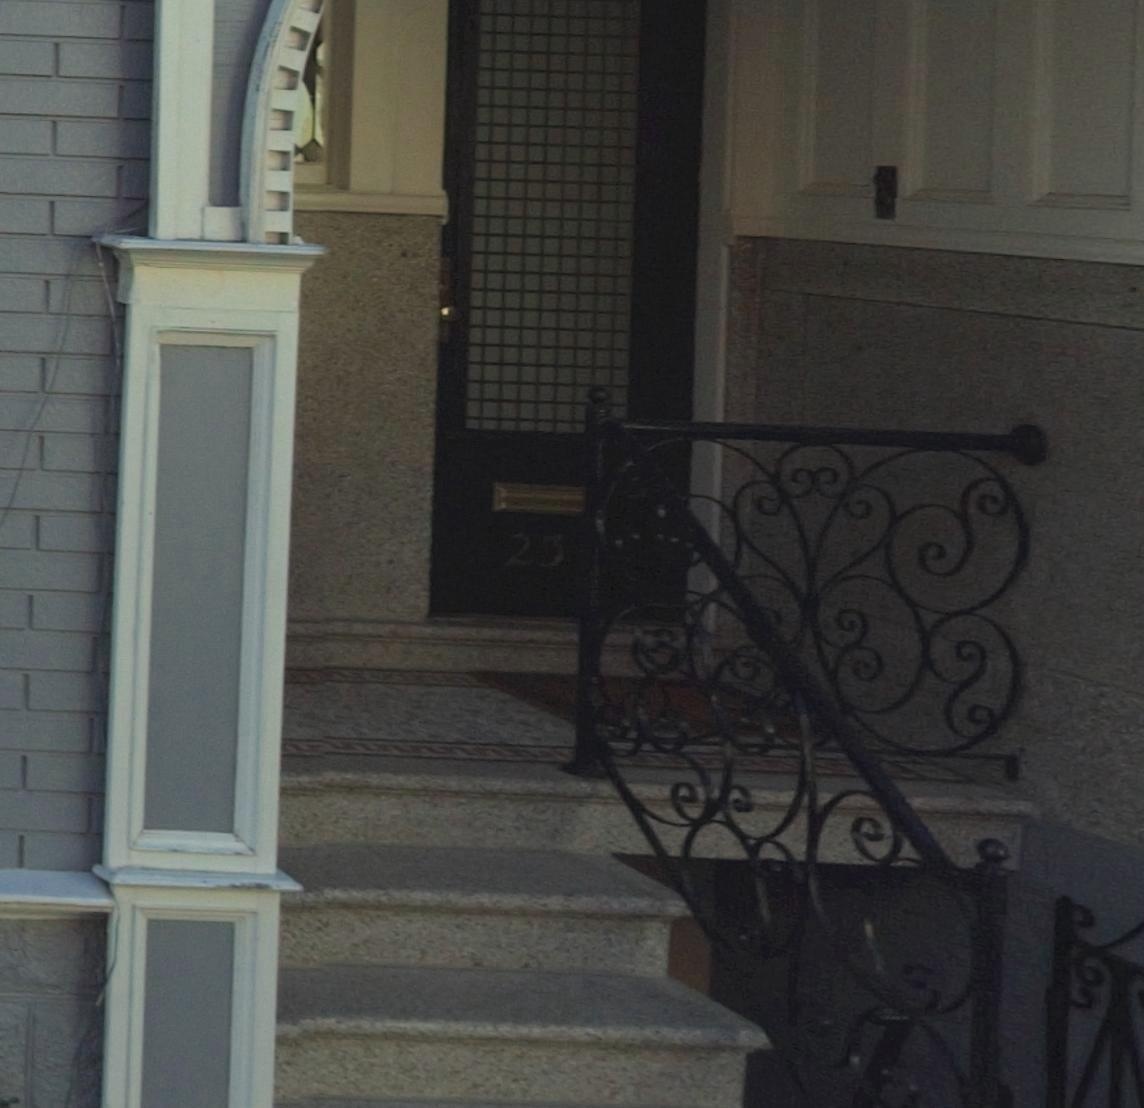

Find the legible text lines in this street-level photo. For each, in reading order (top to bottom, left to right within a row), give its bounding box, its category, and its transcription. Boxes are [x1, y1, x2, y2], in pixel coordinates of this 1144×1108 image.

[499, 528, 568, 569] StreetNumber: 23